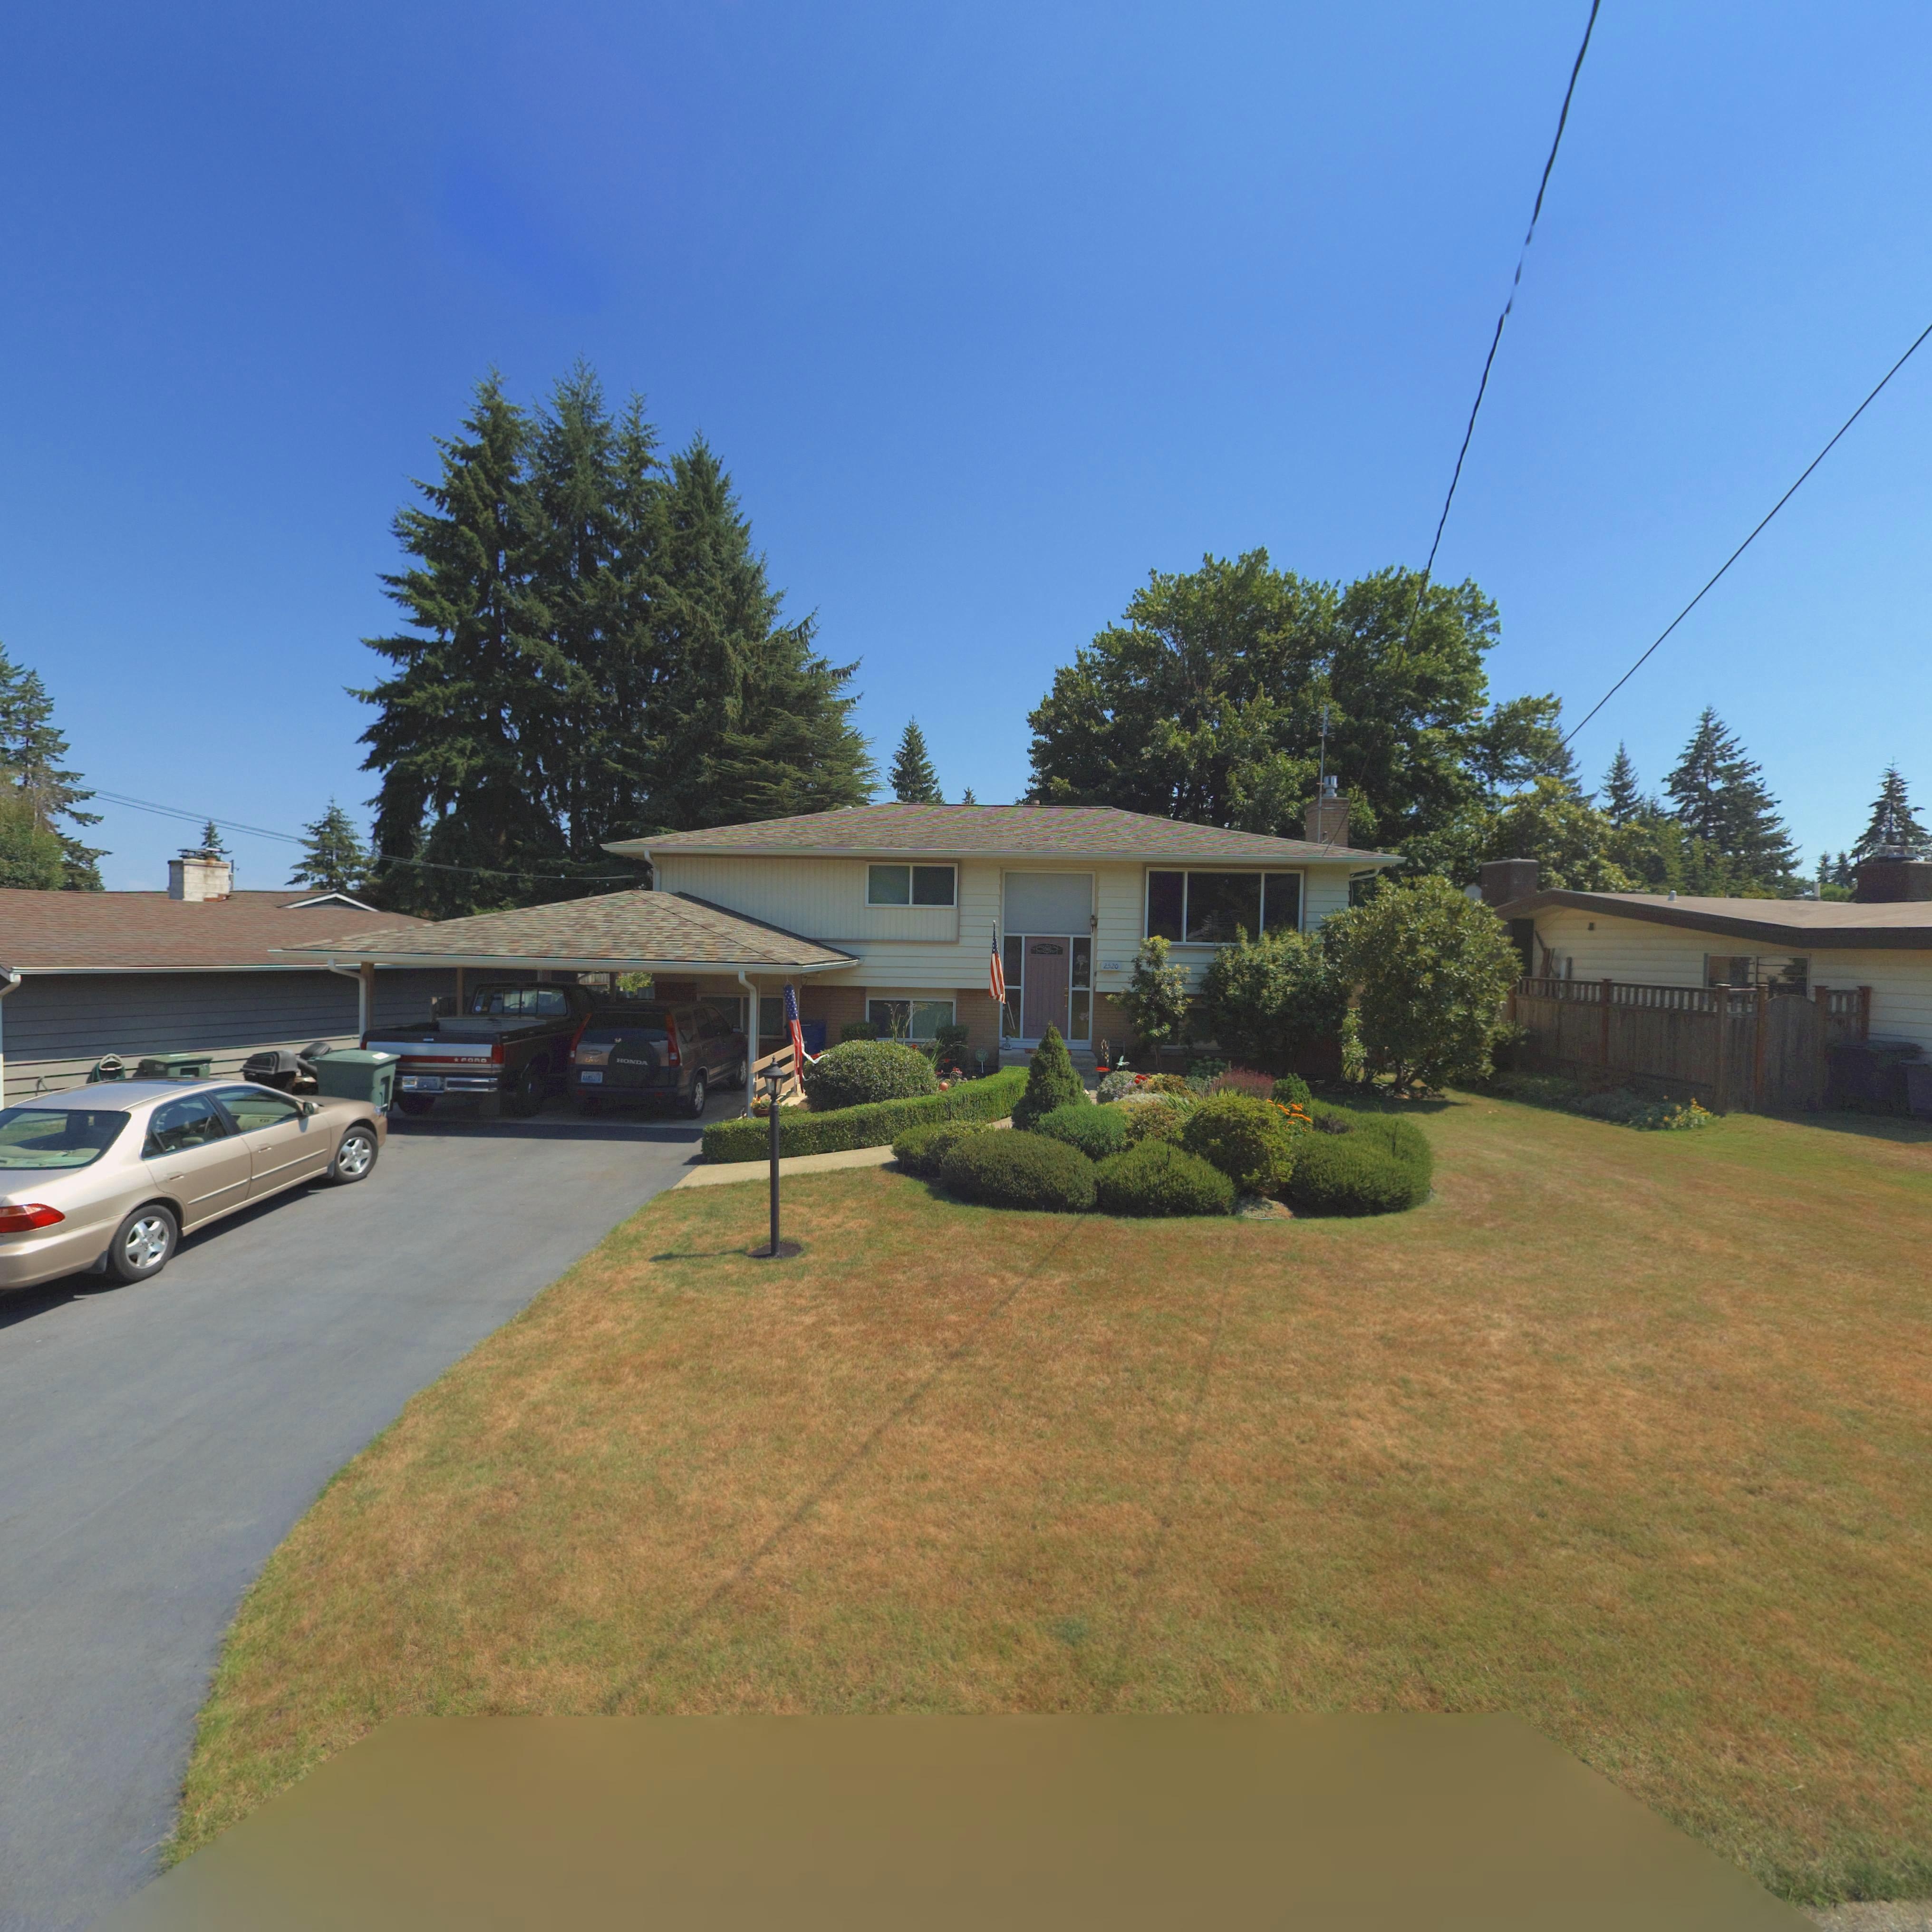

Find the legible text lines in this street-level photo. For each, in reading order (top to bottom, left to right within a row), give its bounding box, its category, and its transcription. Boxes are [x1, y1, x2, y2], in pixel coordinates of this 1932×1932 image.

[1103, 962, 1119, 969] StreetNumber: 2520